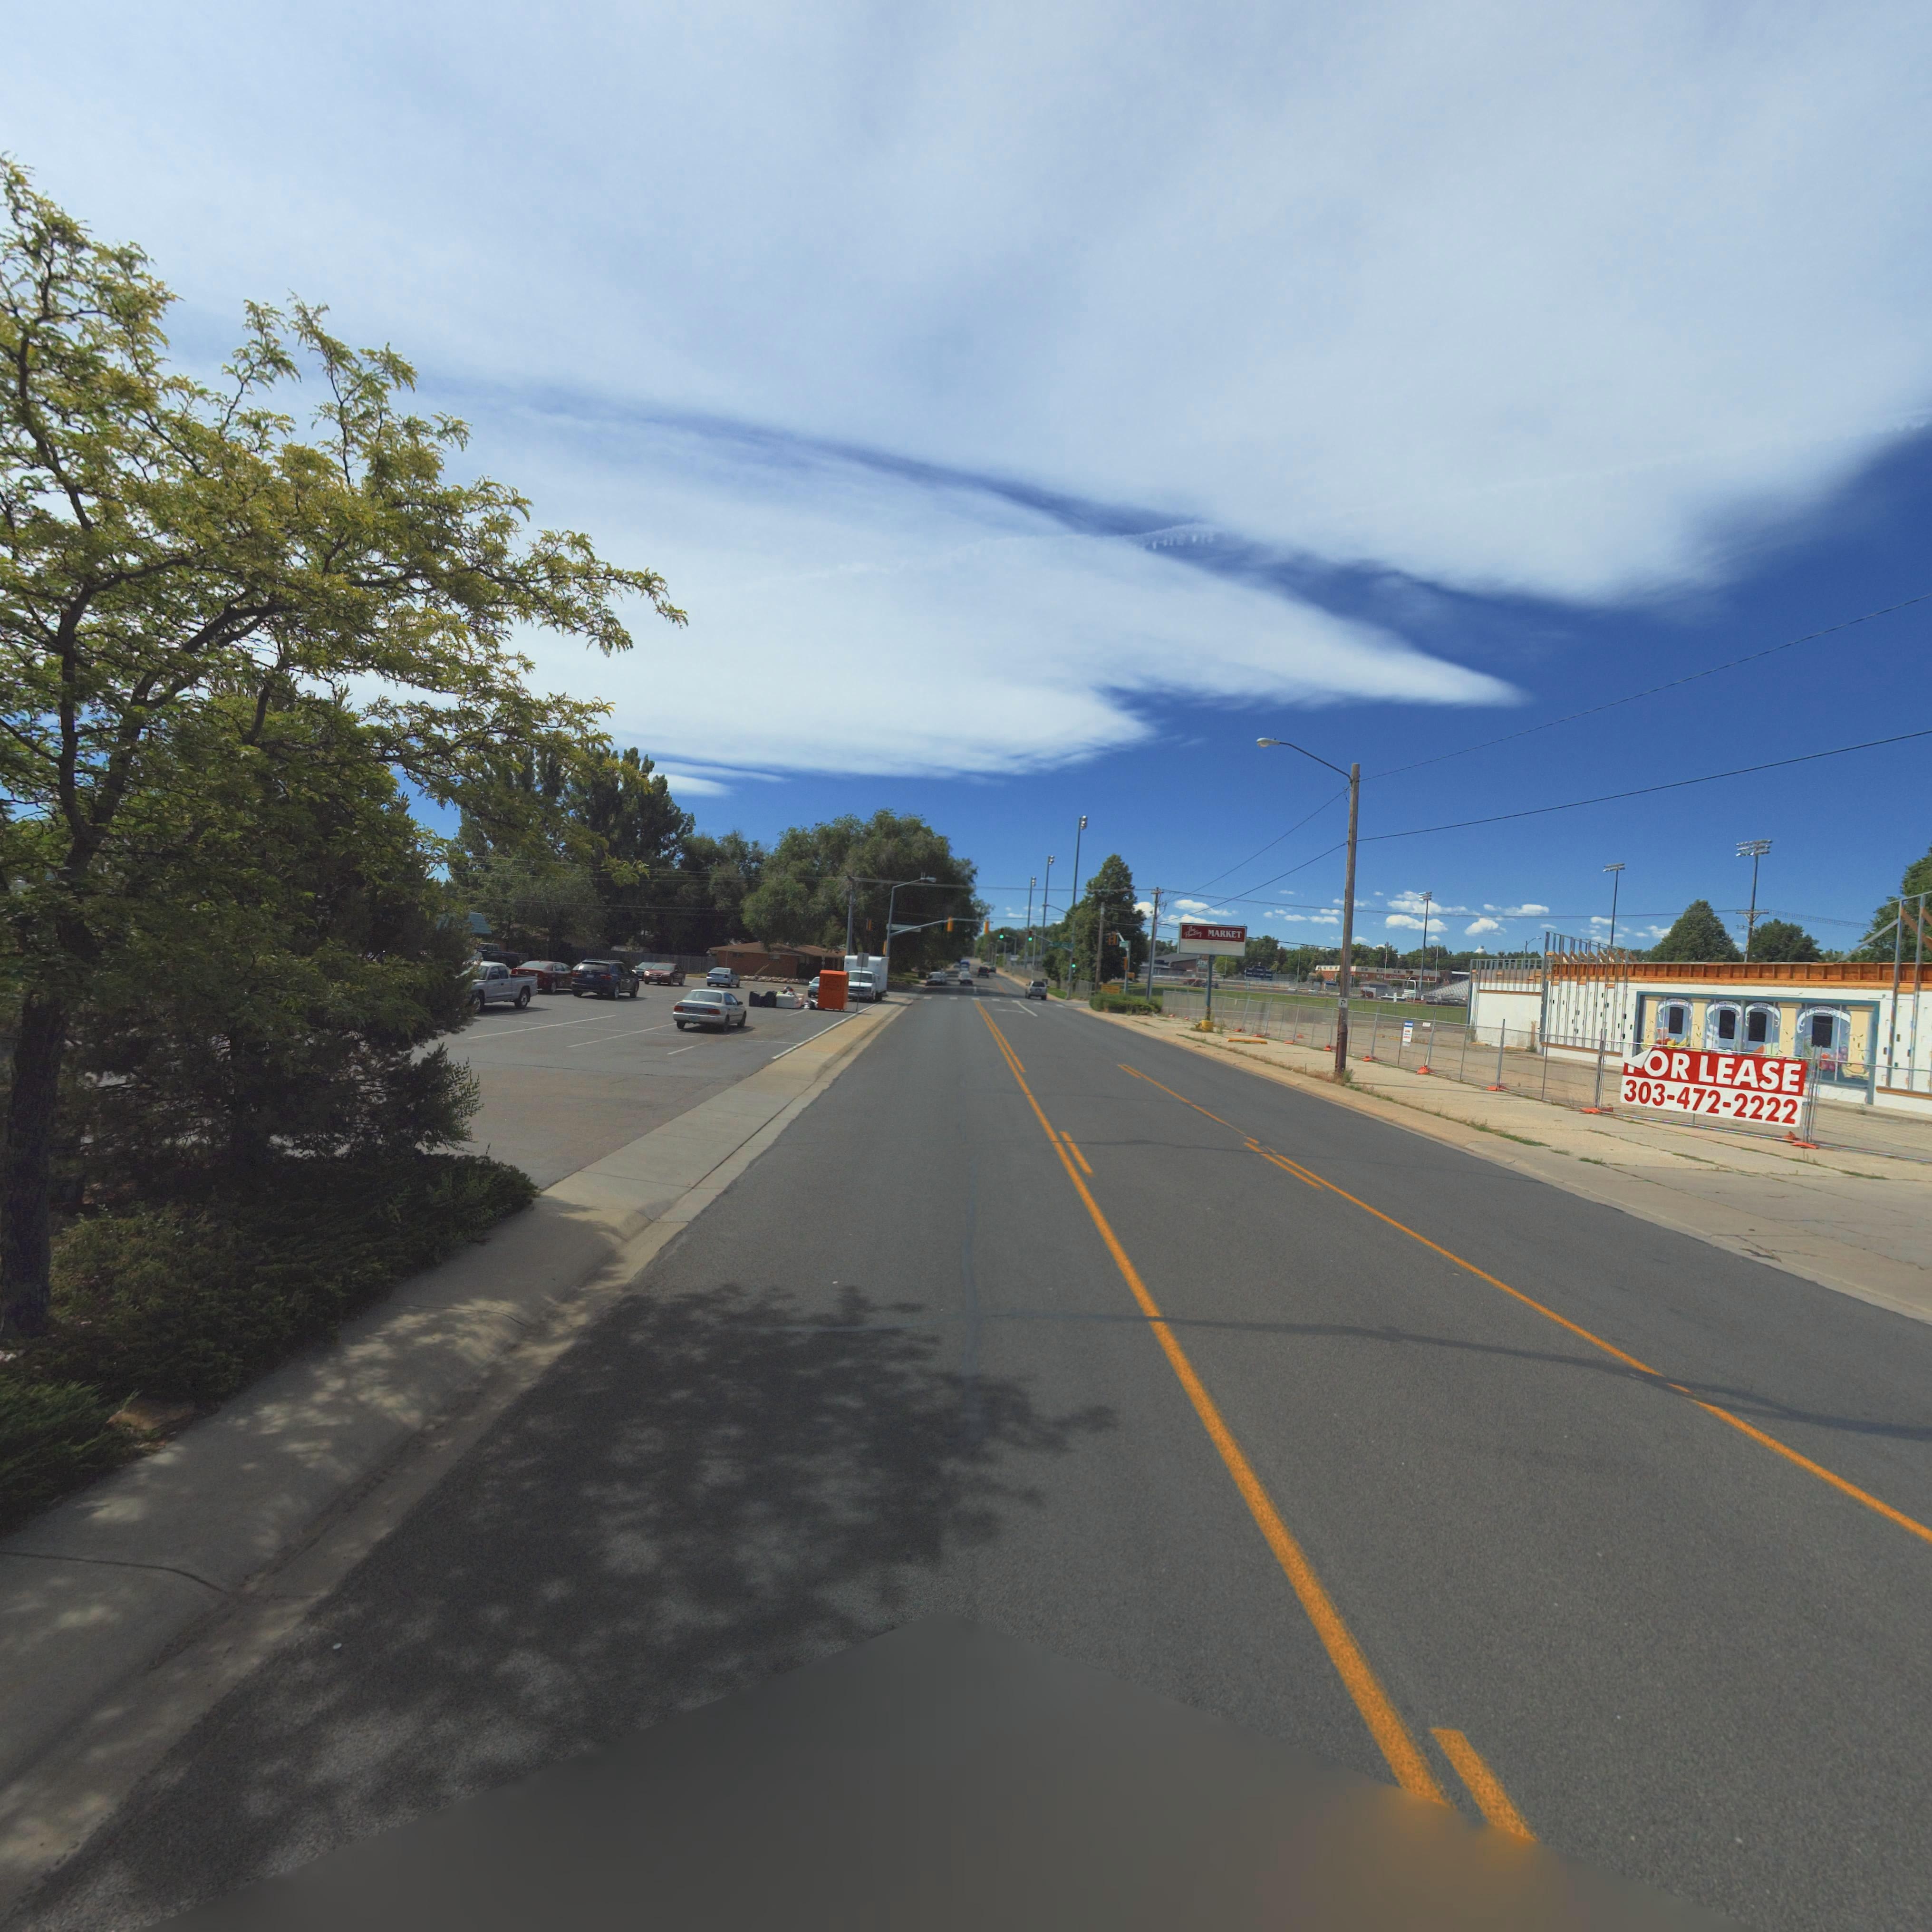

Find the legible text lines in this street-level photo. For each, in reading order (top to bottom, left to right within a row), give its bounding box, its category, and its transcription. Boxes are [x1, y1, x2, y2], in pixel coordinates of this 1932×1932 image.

[1187, 926, 1196, 932] BusinessName: The
[1183, 930, 1202, 937] BusinessName: Pantry
[1207, 929, 1242, 938] BusinessName: MARKET